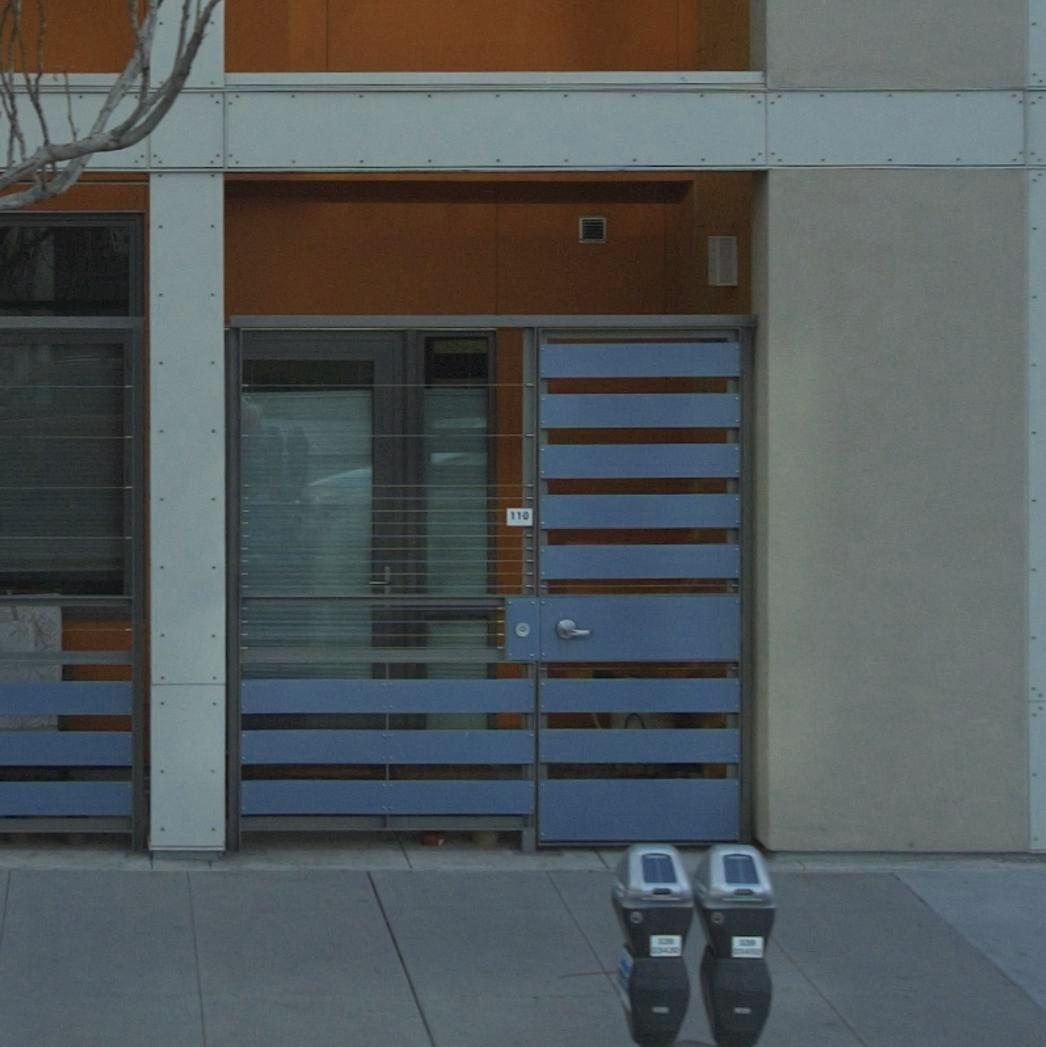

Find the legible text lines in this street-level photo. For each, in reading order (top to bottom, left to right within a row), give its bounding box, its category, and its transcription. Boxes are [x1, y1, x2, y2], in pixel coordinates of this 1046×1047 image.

[507, 508, 532, 523] StreetNumber: 110